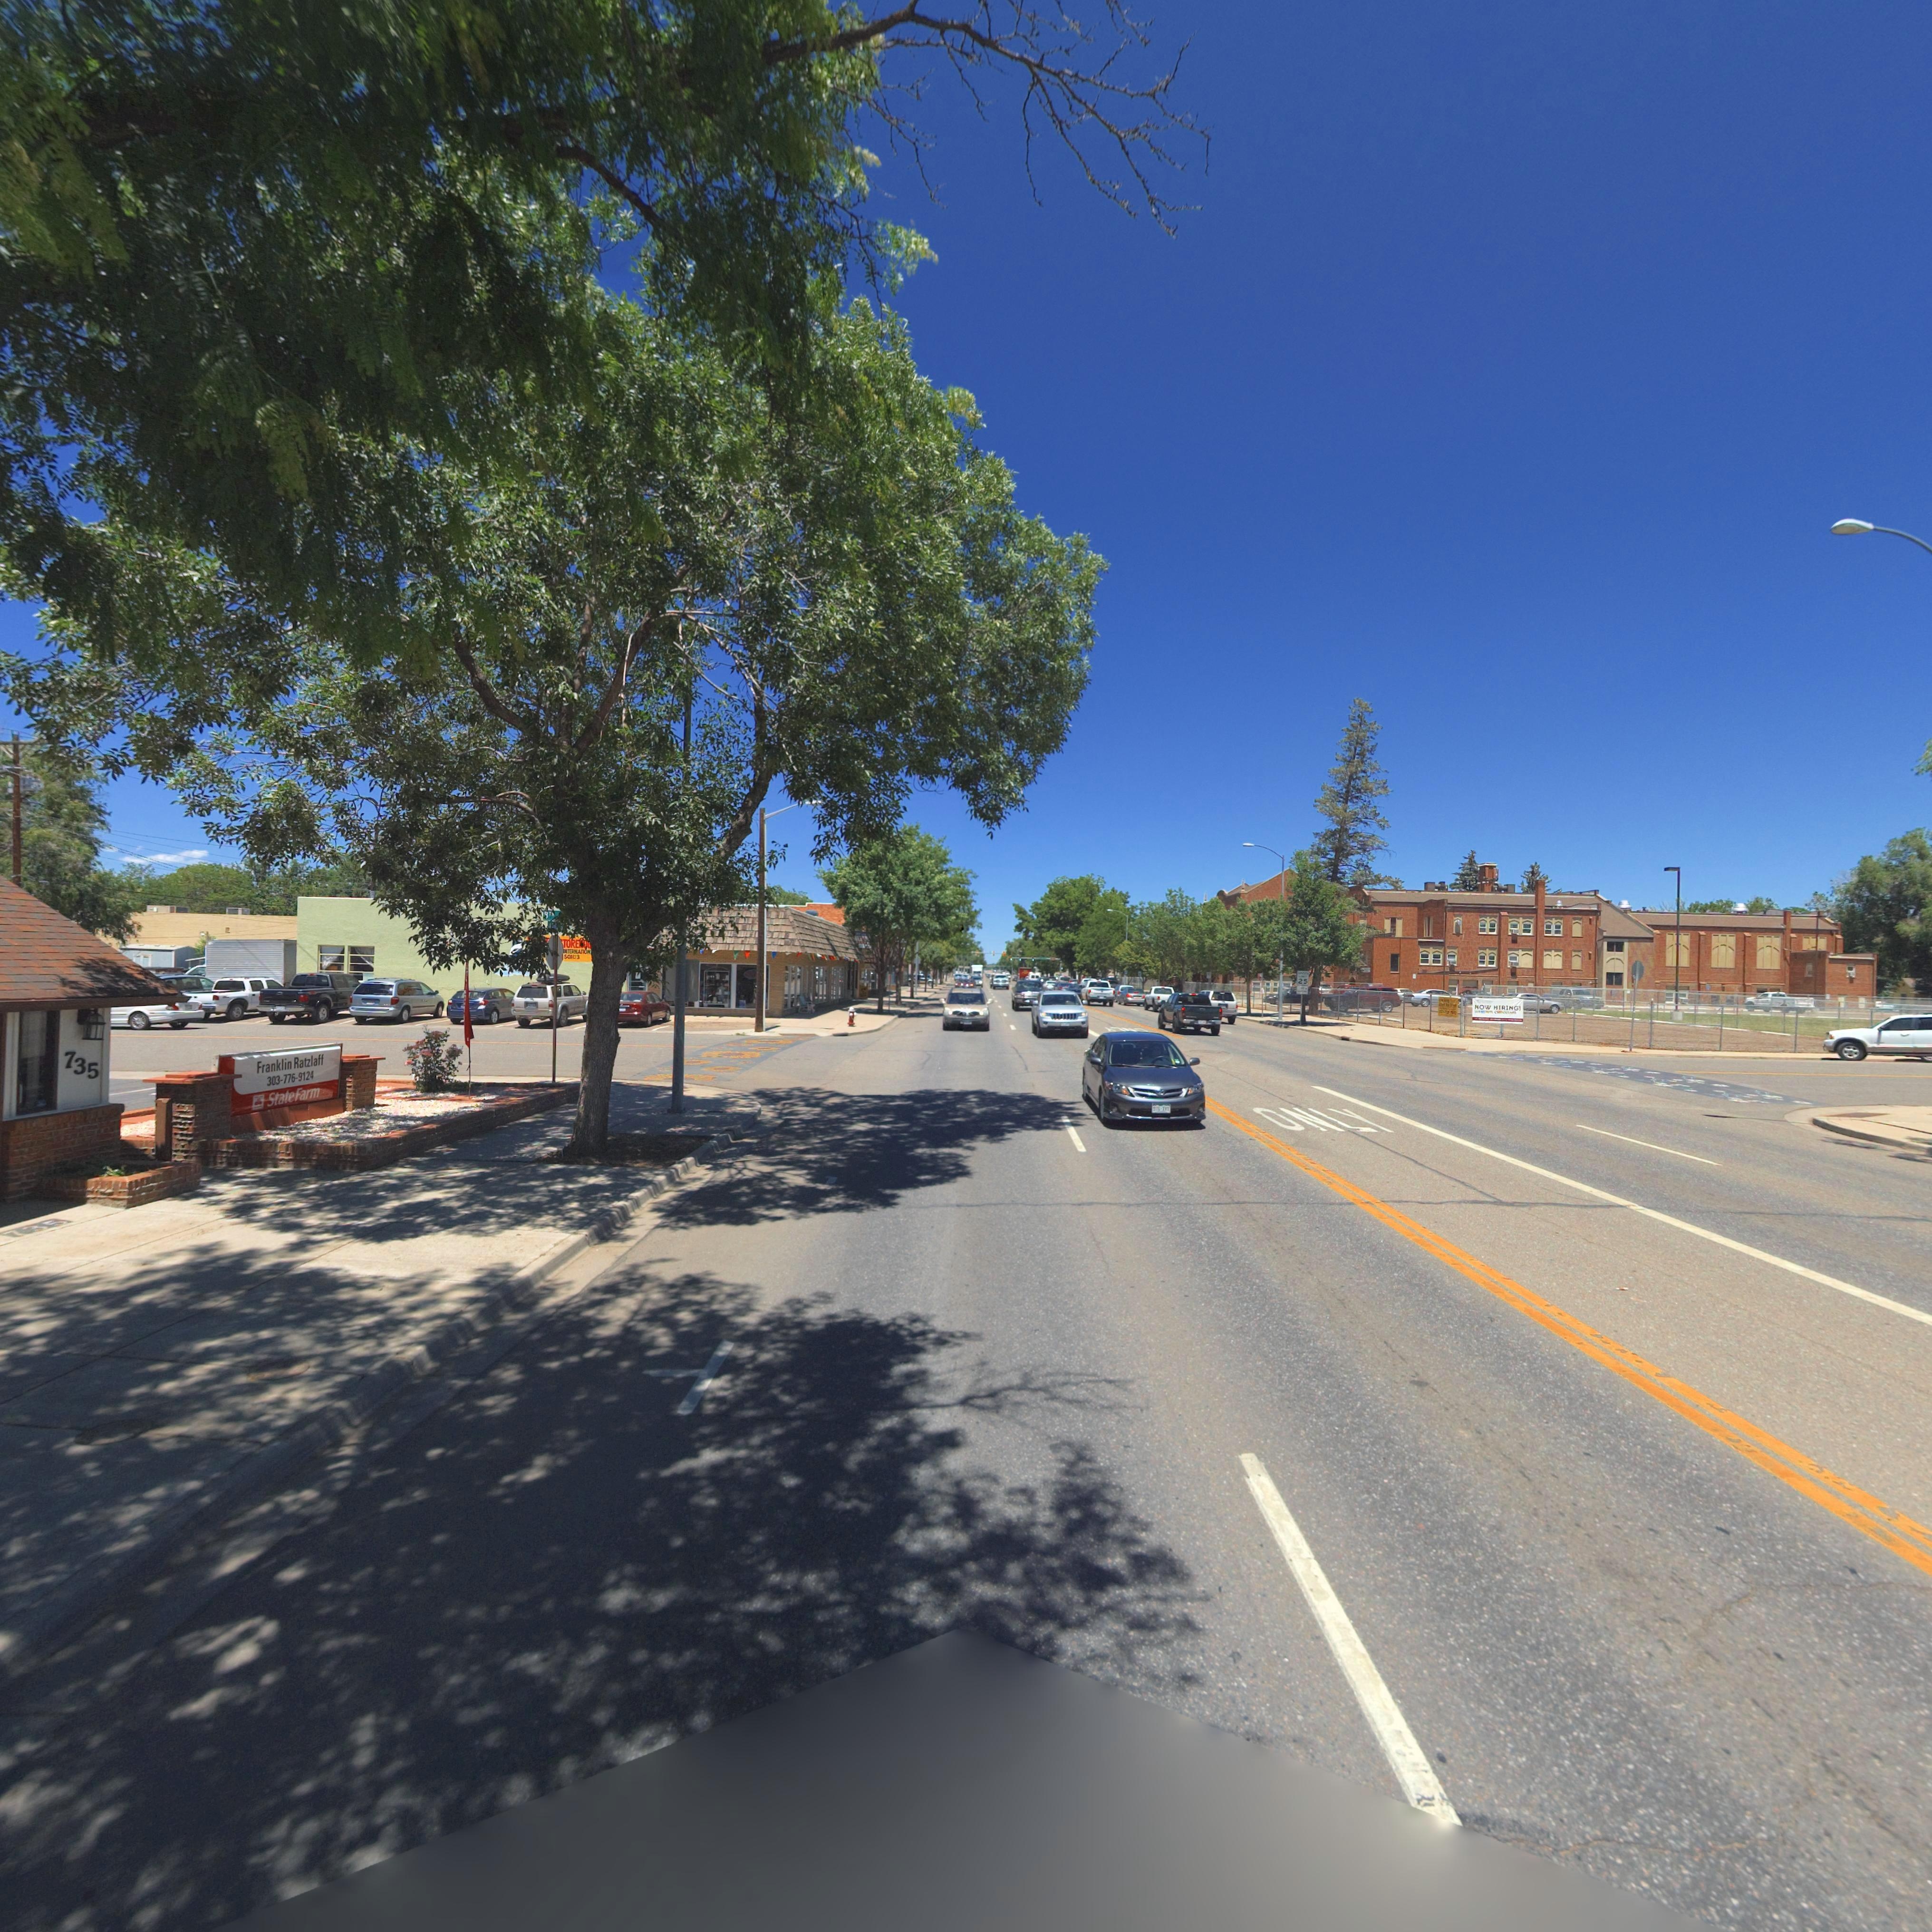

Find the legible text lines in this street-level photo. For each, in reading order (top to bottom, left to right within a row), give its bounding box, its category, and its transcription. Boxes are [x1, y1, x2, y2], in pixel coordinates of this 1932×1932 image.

[543, 911, 555, 918] StreetName: 8TH
[548, 921, 557, 928] StreetName: M**
[524, 937, 591, 949] BusinessName: ****** *TOREH***
[65, 1051, 99, 1079] StreetNumber: 735
[266, 1087, 320, 1107] BusinessName: State Farm
[2, 1219, 67, 1236] StreetNumber: 735